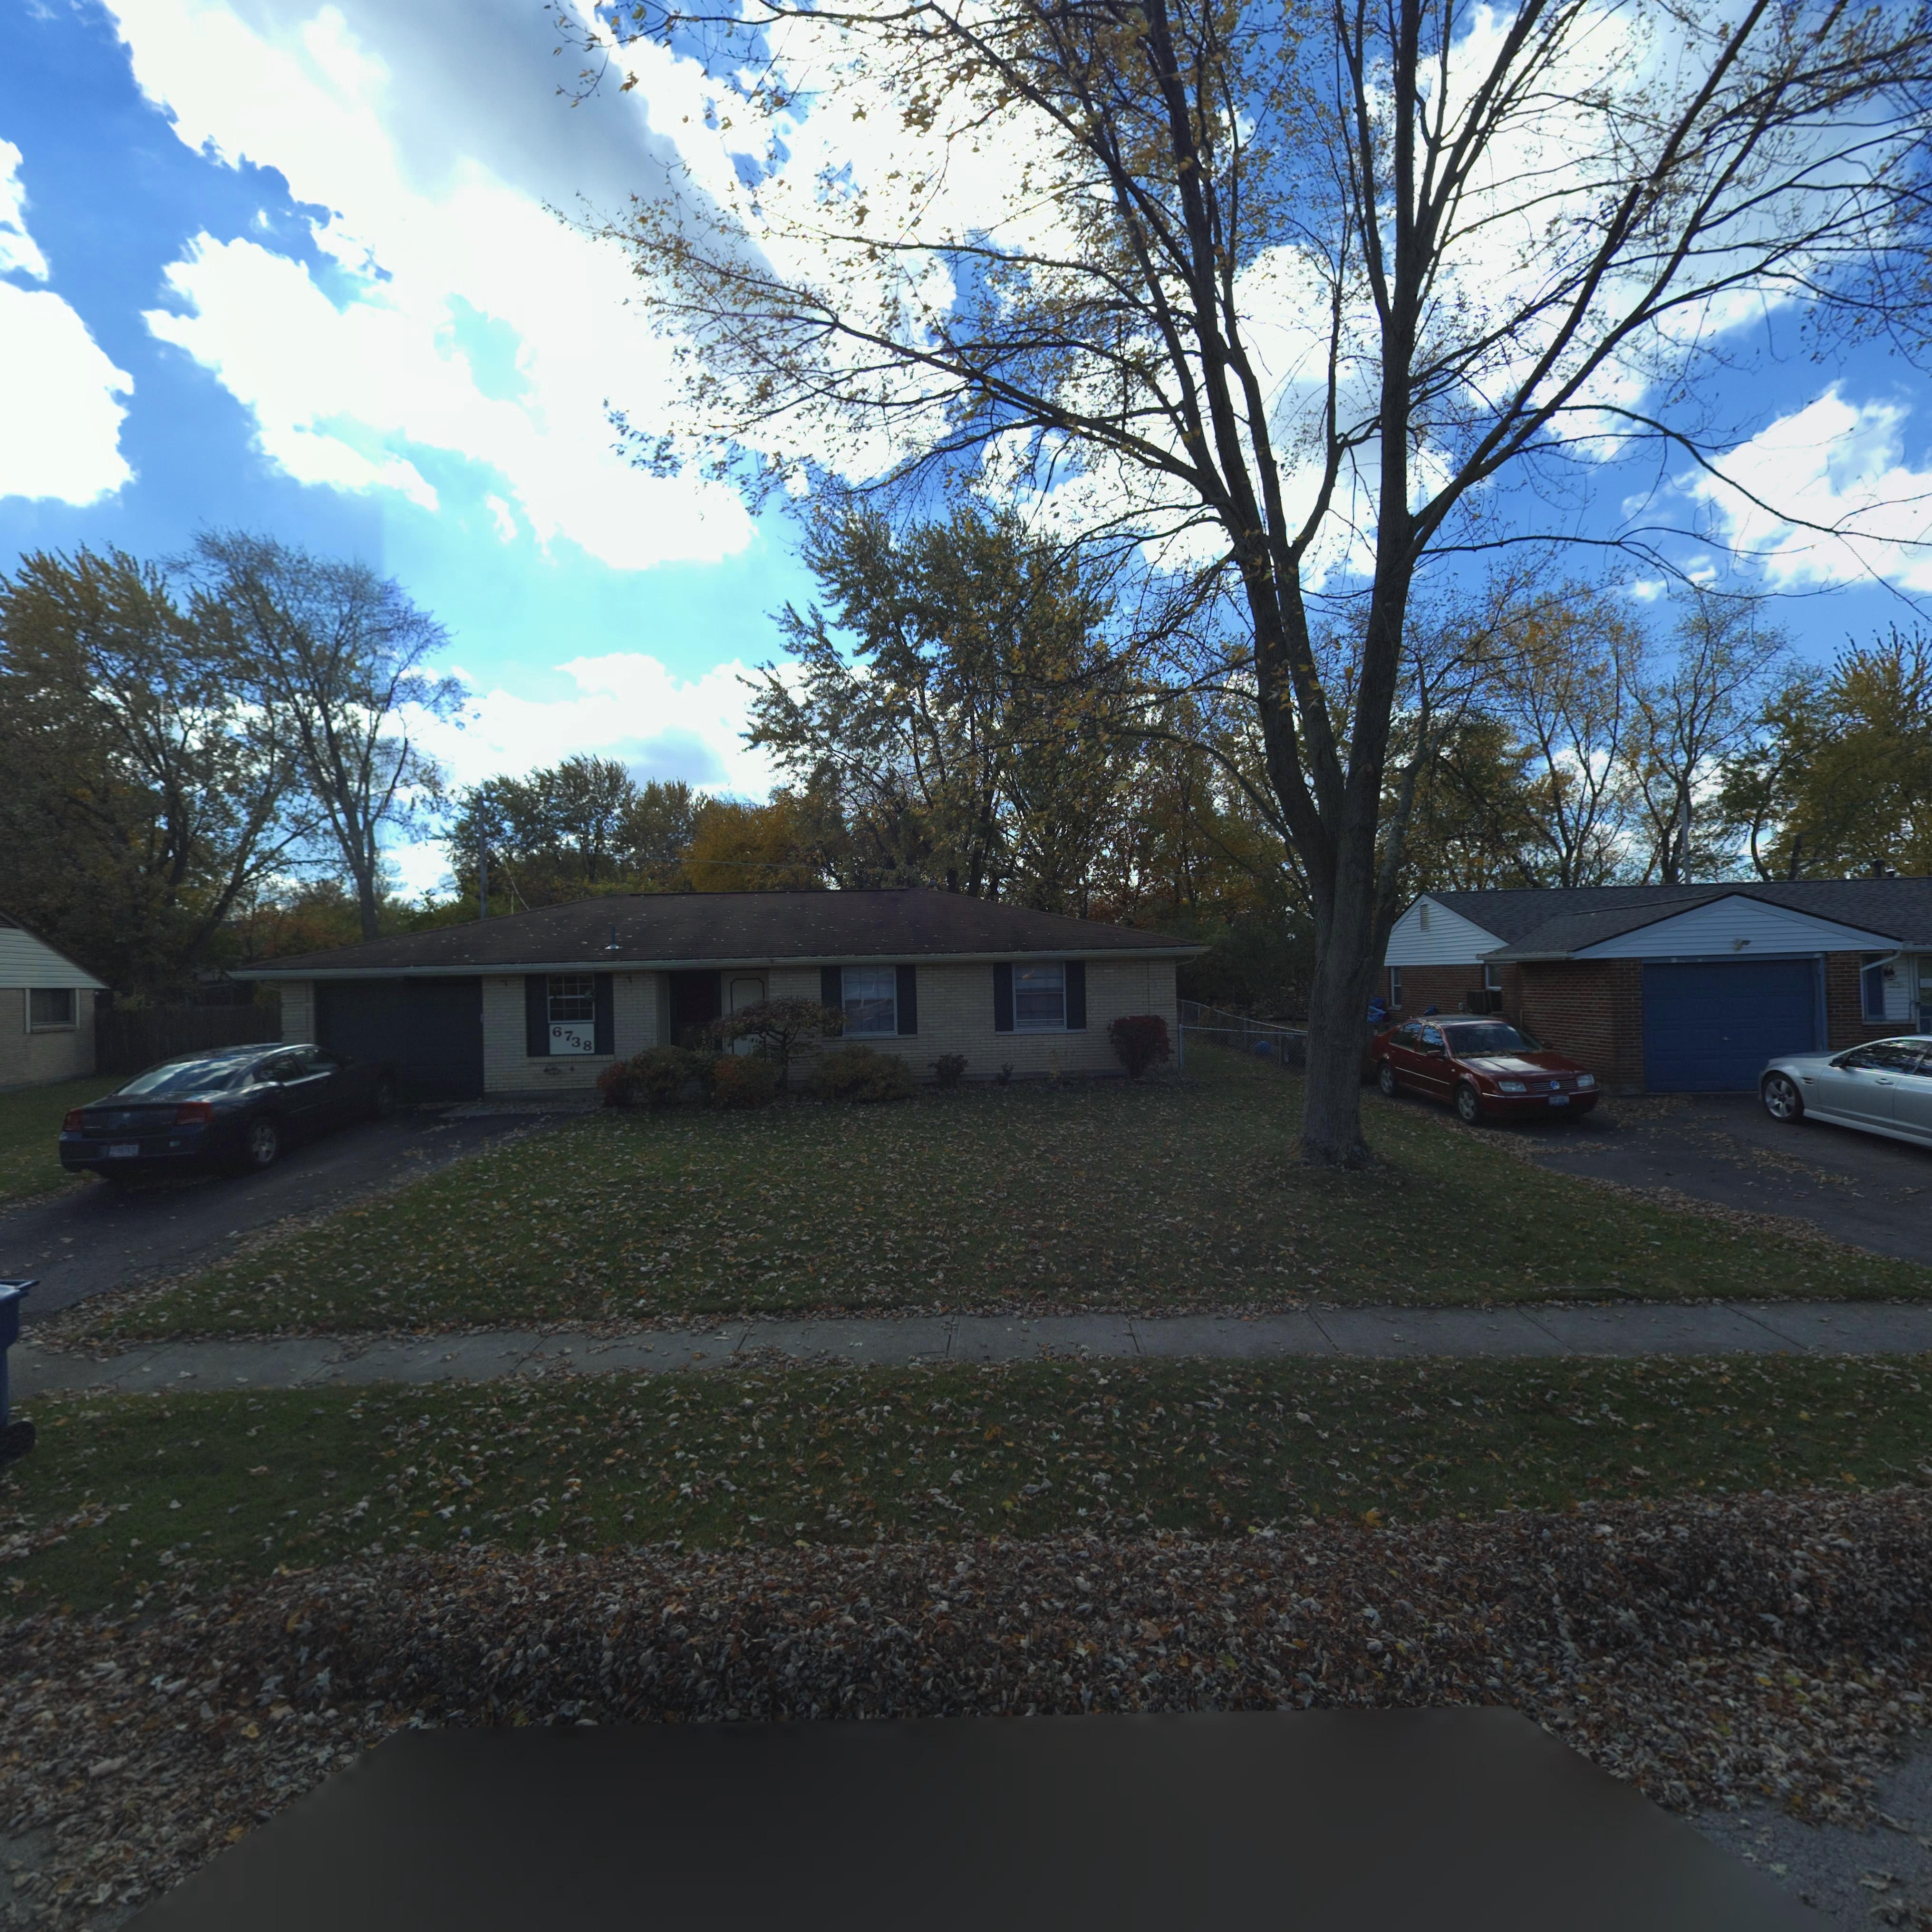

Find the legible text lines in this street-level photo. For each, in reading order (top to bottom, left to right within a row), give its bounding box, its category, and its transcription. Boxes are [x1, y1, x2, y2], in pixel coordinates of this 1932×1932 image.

[1887, 980, 1905, 989] StreetNumber: **26
[552, 1026, 592, 1052] StreetNumber: 6738